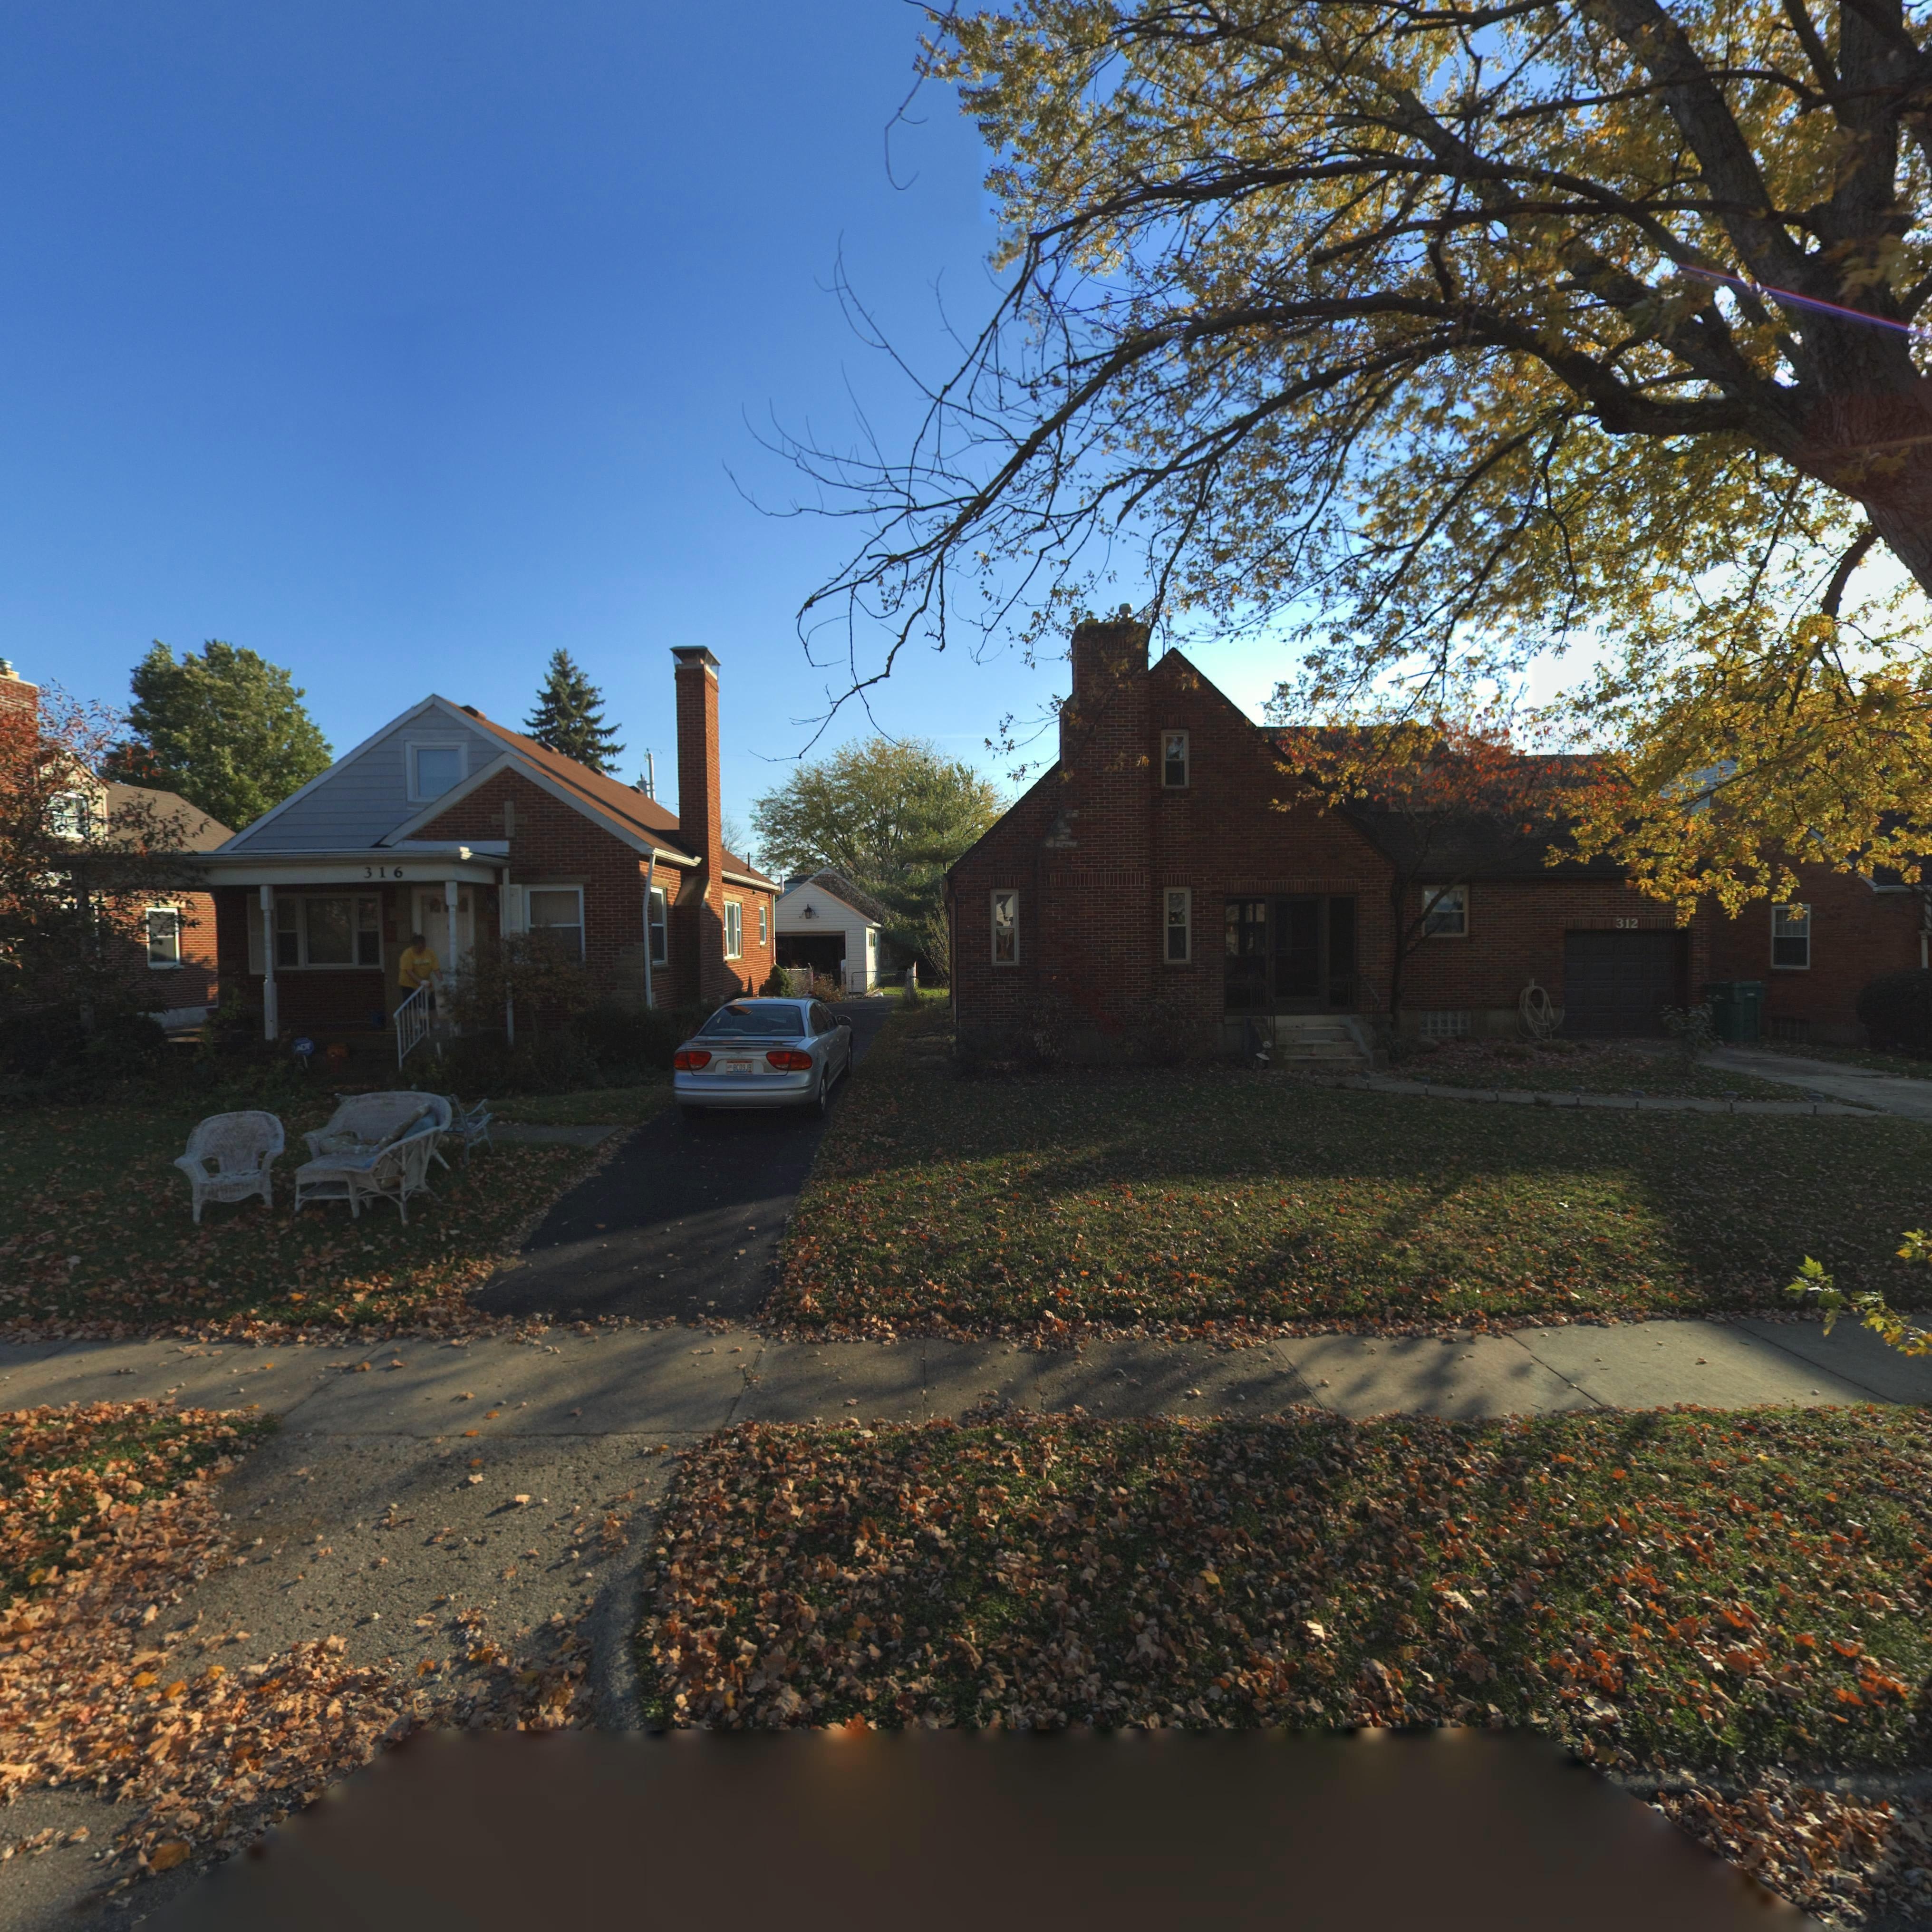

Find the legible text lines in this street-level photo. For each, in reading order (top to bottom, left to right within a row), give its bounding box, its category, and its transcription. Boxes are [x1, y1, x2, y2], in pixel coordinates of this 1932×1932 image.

[363, 866, 403, 878] StreetNumber: 316
[1615, 918, 1639, 929] StreetNumber: 312